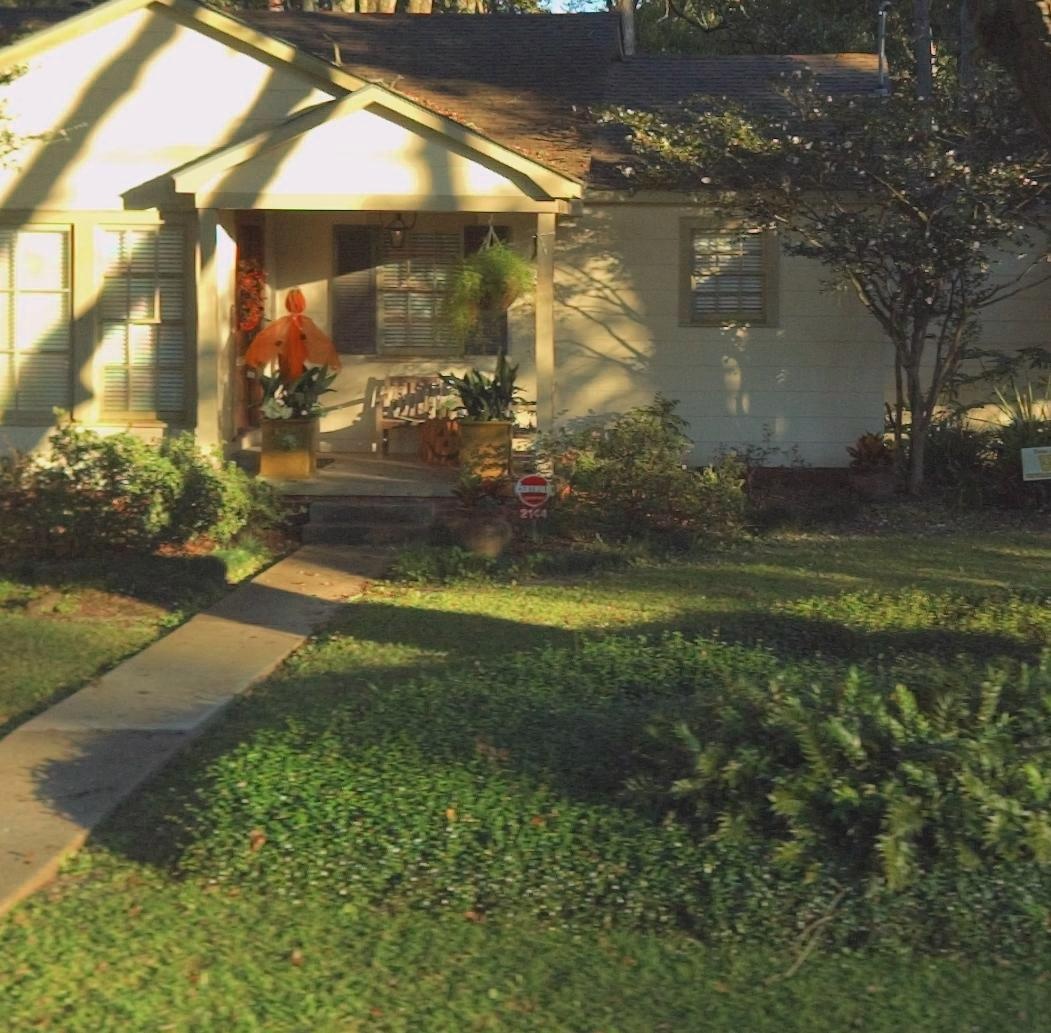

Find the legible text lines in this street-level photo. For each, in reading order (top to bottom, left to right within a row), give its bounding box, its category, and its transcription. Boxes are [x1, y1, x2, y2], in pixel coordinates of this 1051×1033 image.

[518, 507, 549, 520] StreetNumber: 2144